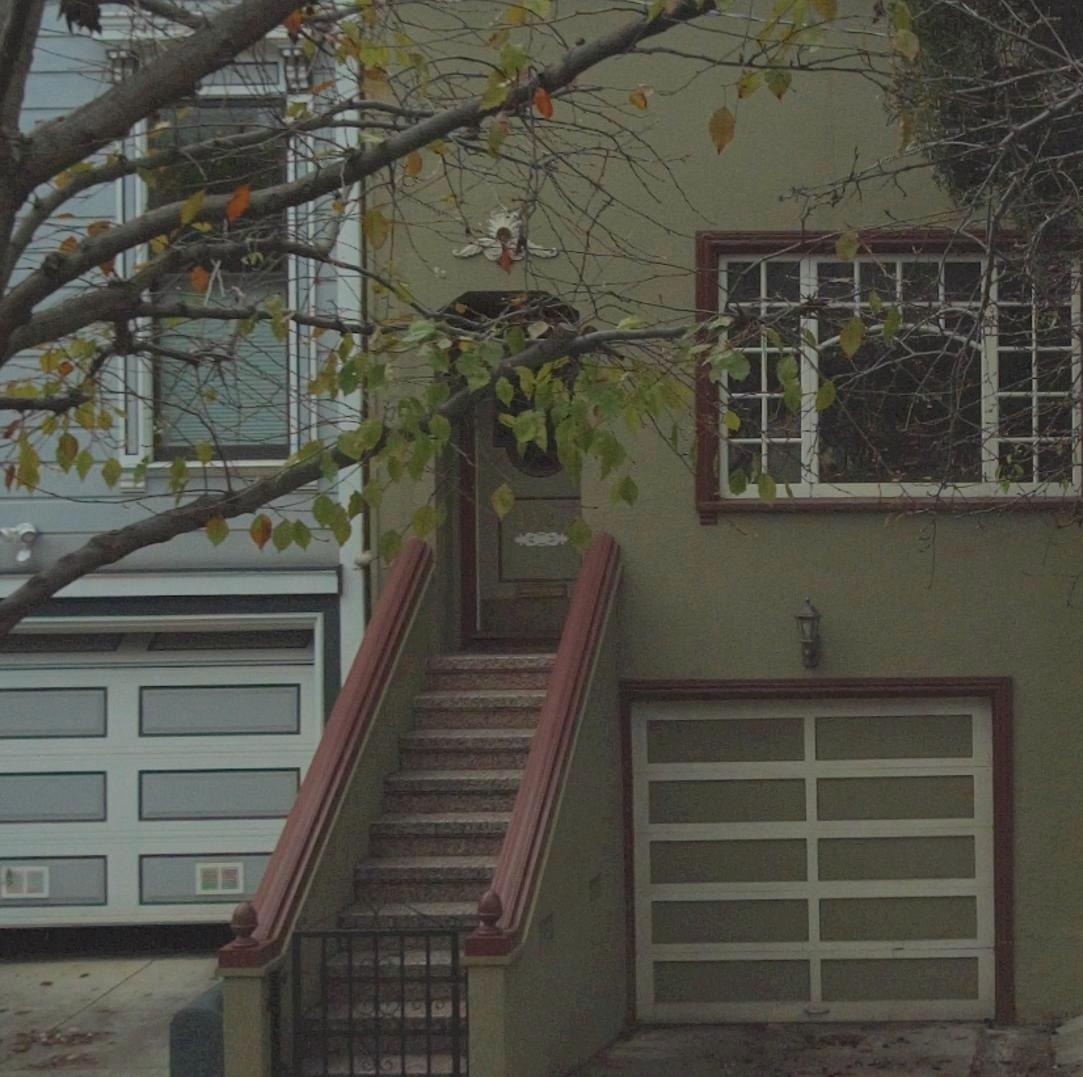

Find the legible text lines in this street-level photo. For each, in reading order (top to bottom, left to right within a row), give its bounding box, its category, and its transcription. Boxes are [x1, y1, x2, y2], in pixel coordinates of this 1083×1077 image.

[518, 509, 556, 530] StreetNumber: 132